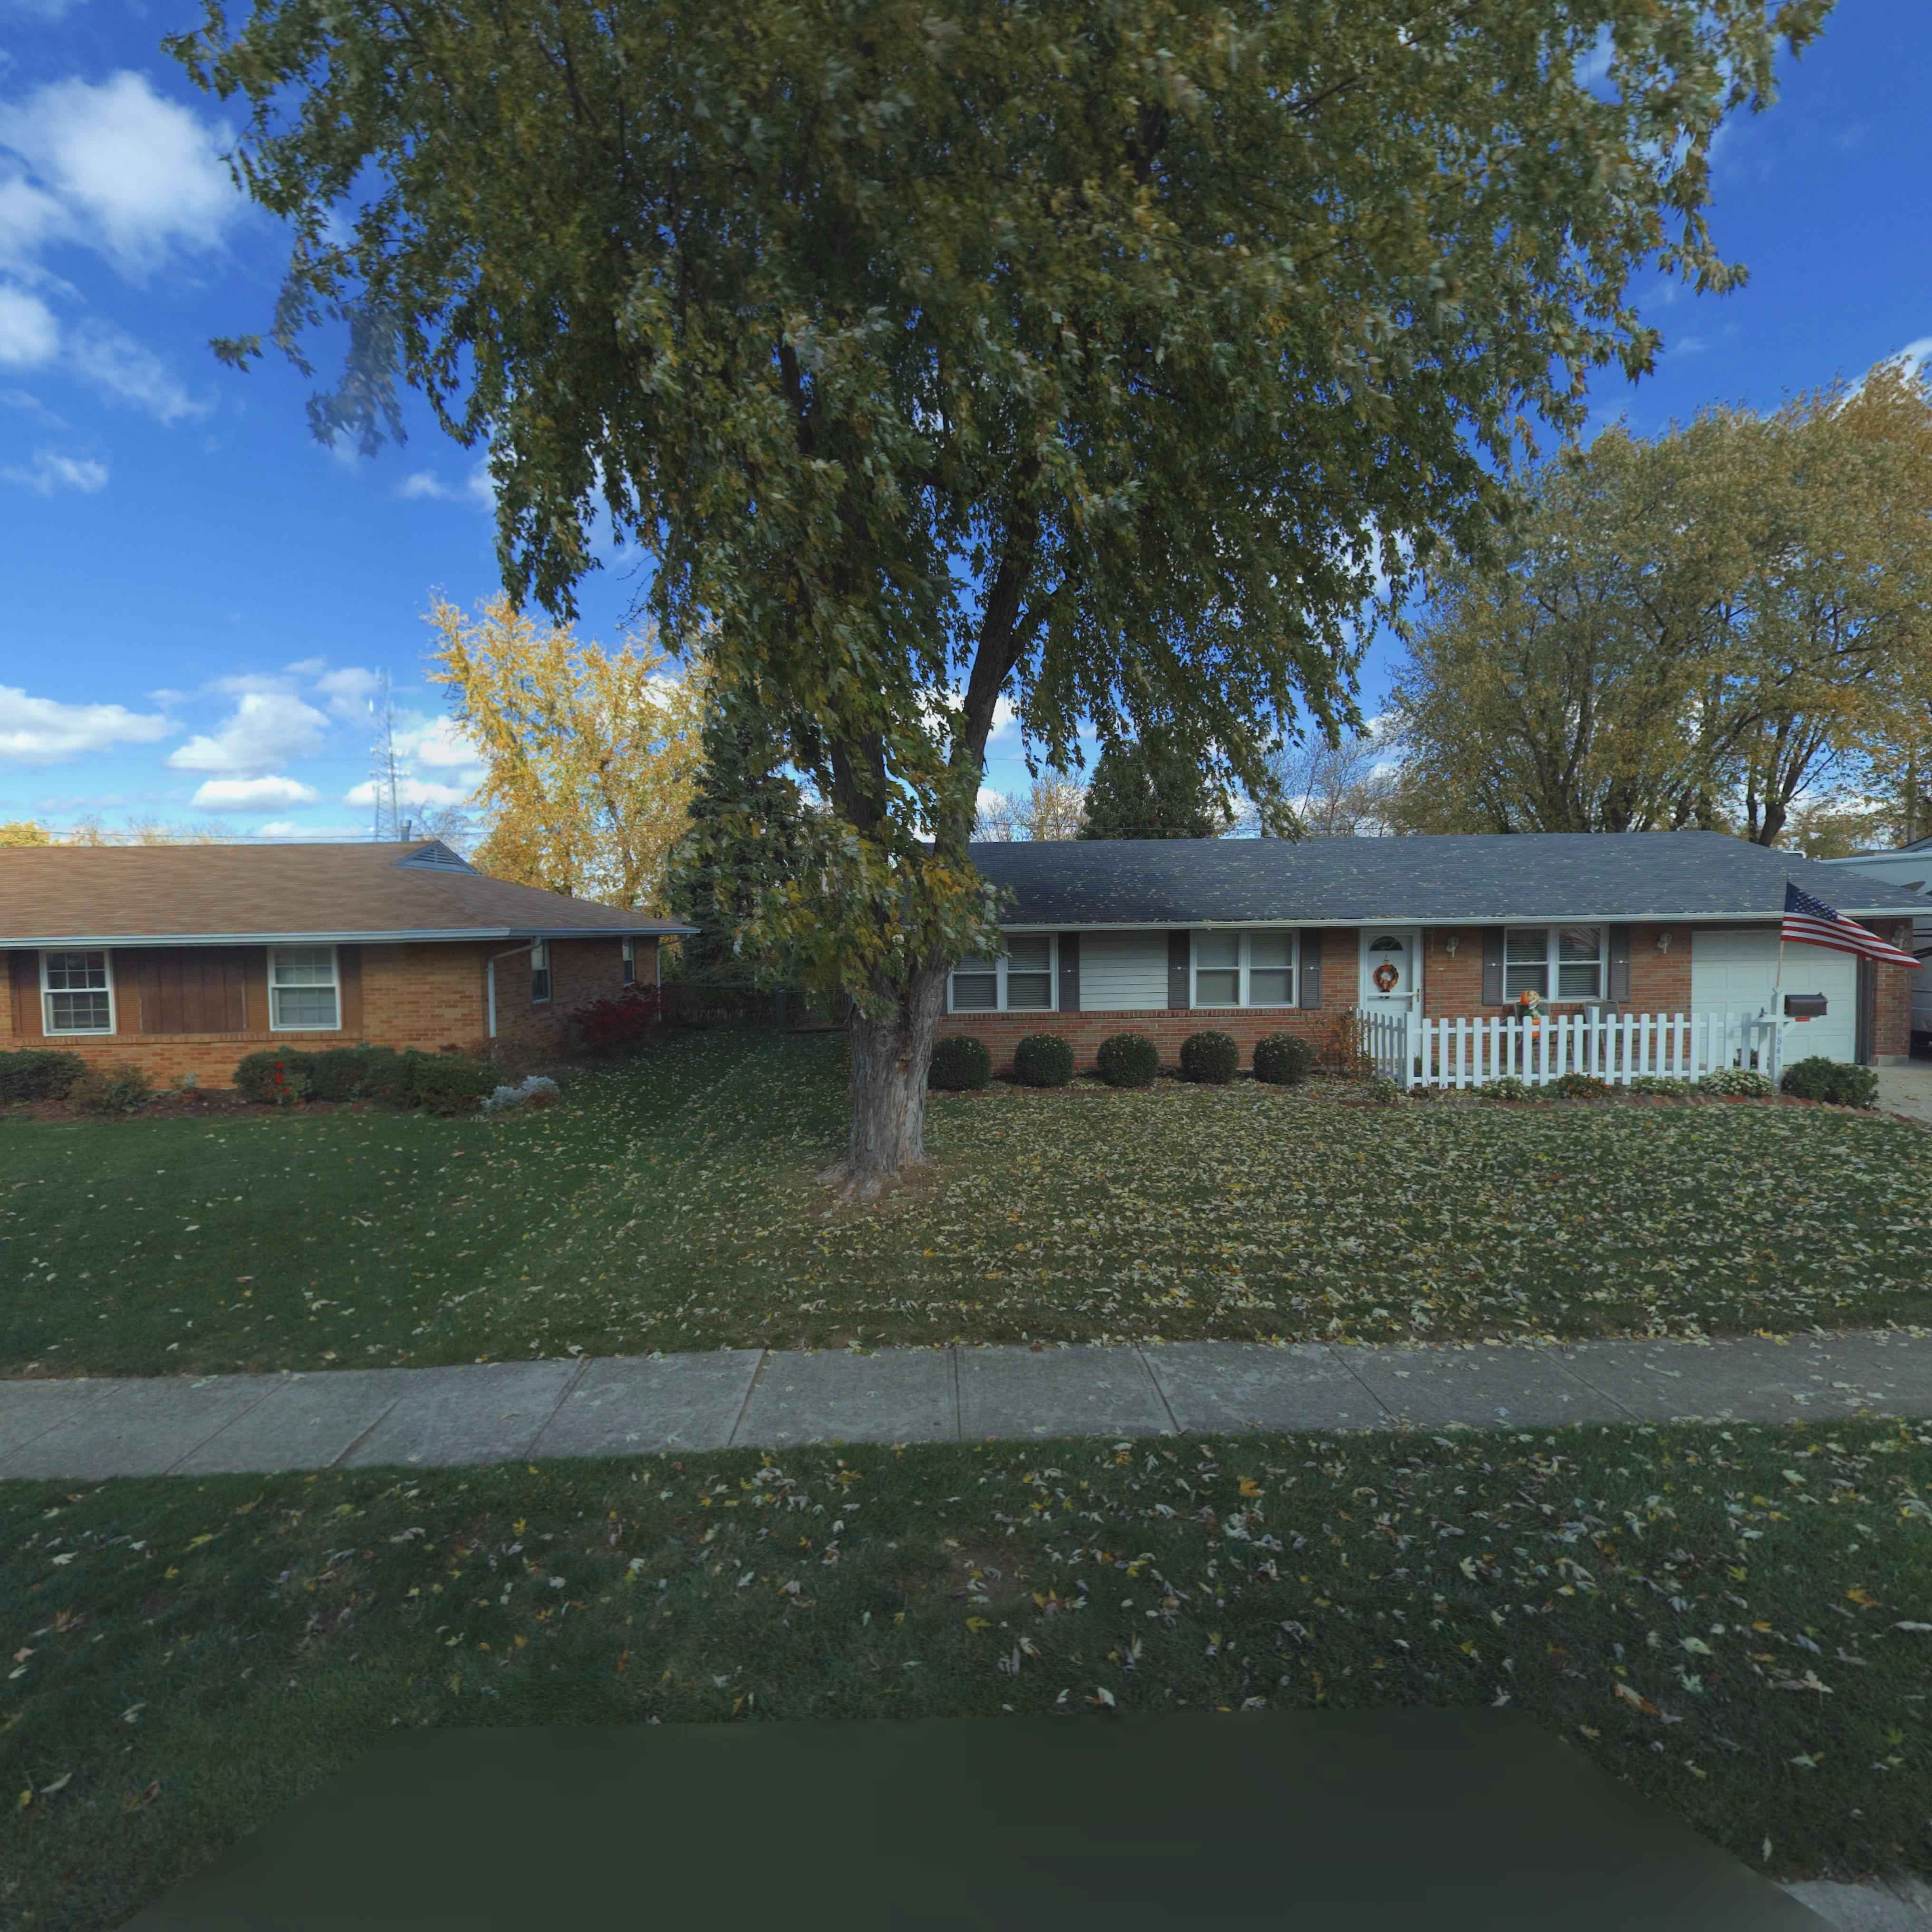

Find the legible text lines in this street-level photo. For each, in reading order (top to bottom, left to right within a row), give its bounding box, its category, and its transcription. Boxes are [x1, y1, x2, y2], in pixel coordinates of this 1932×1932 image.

[1775, 1024, 1782, 1065] StreetNumber: 6843